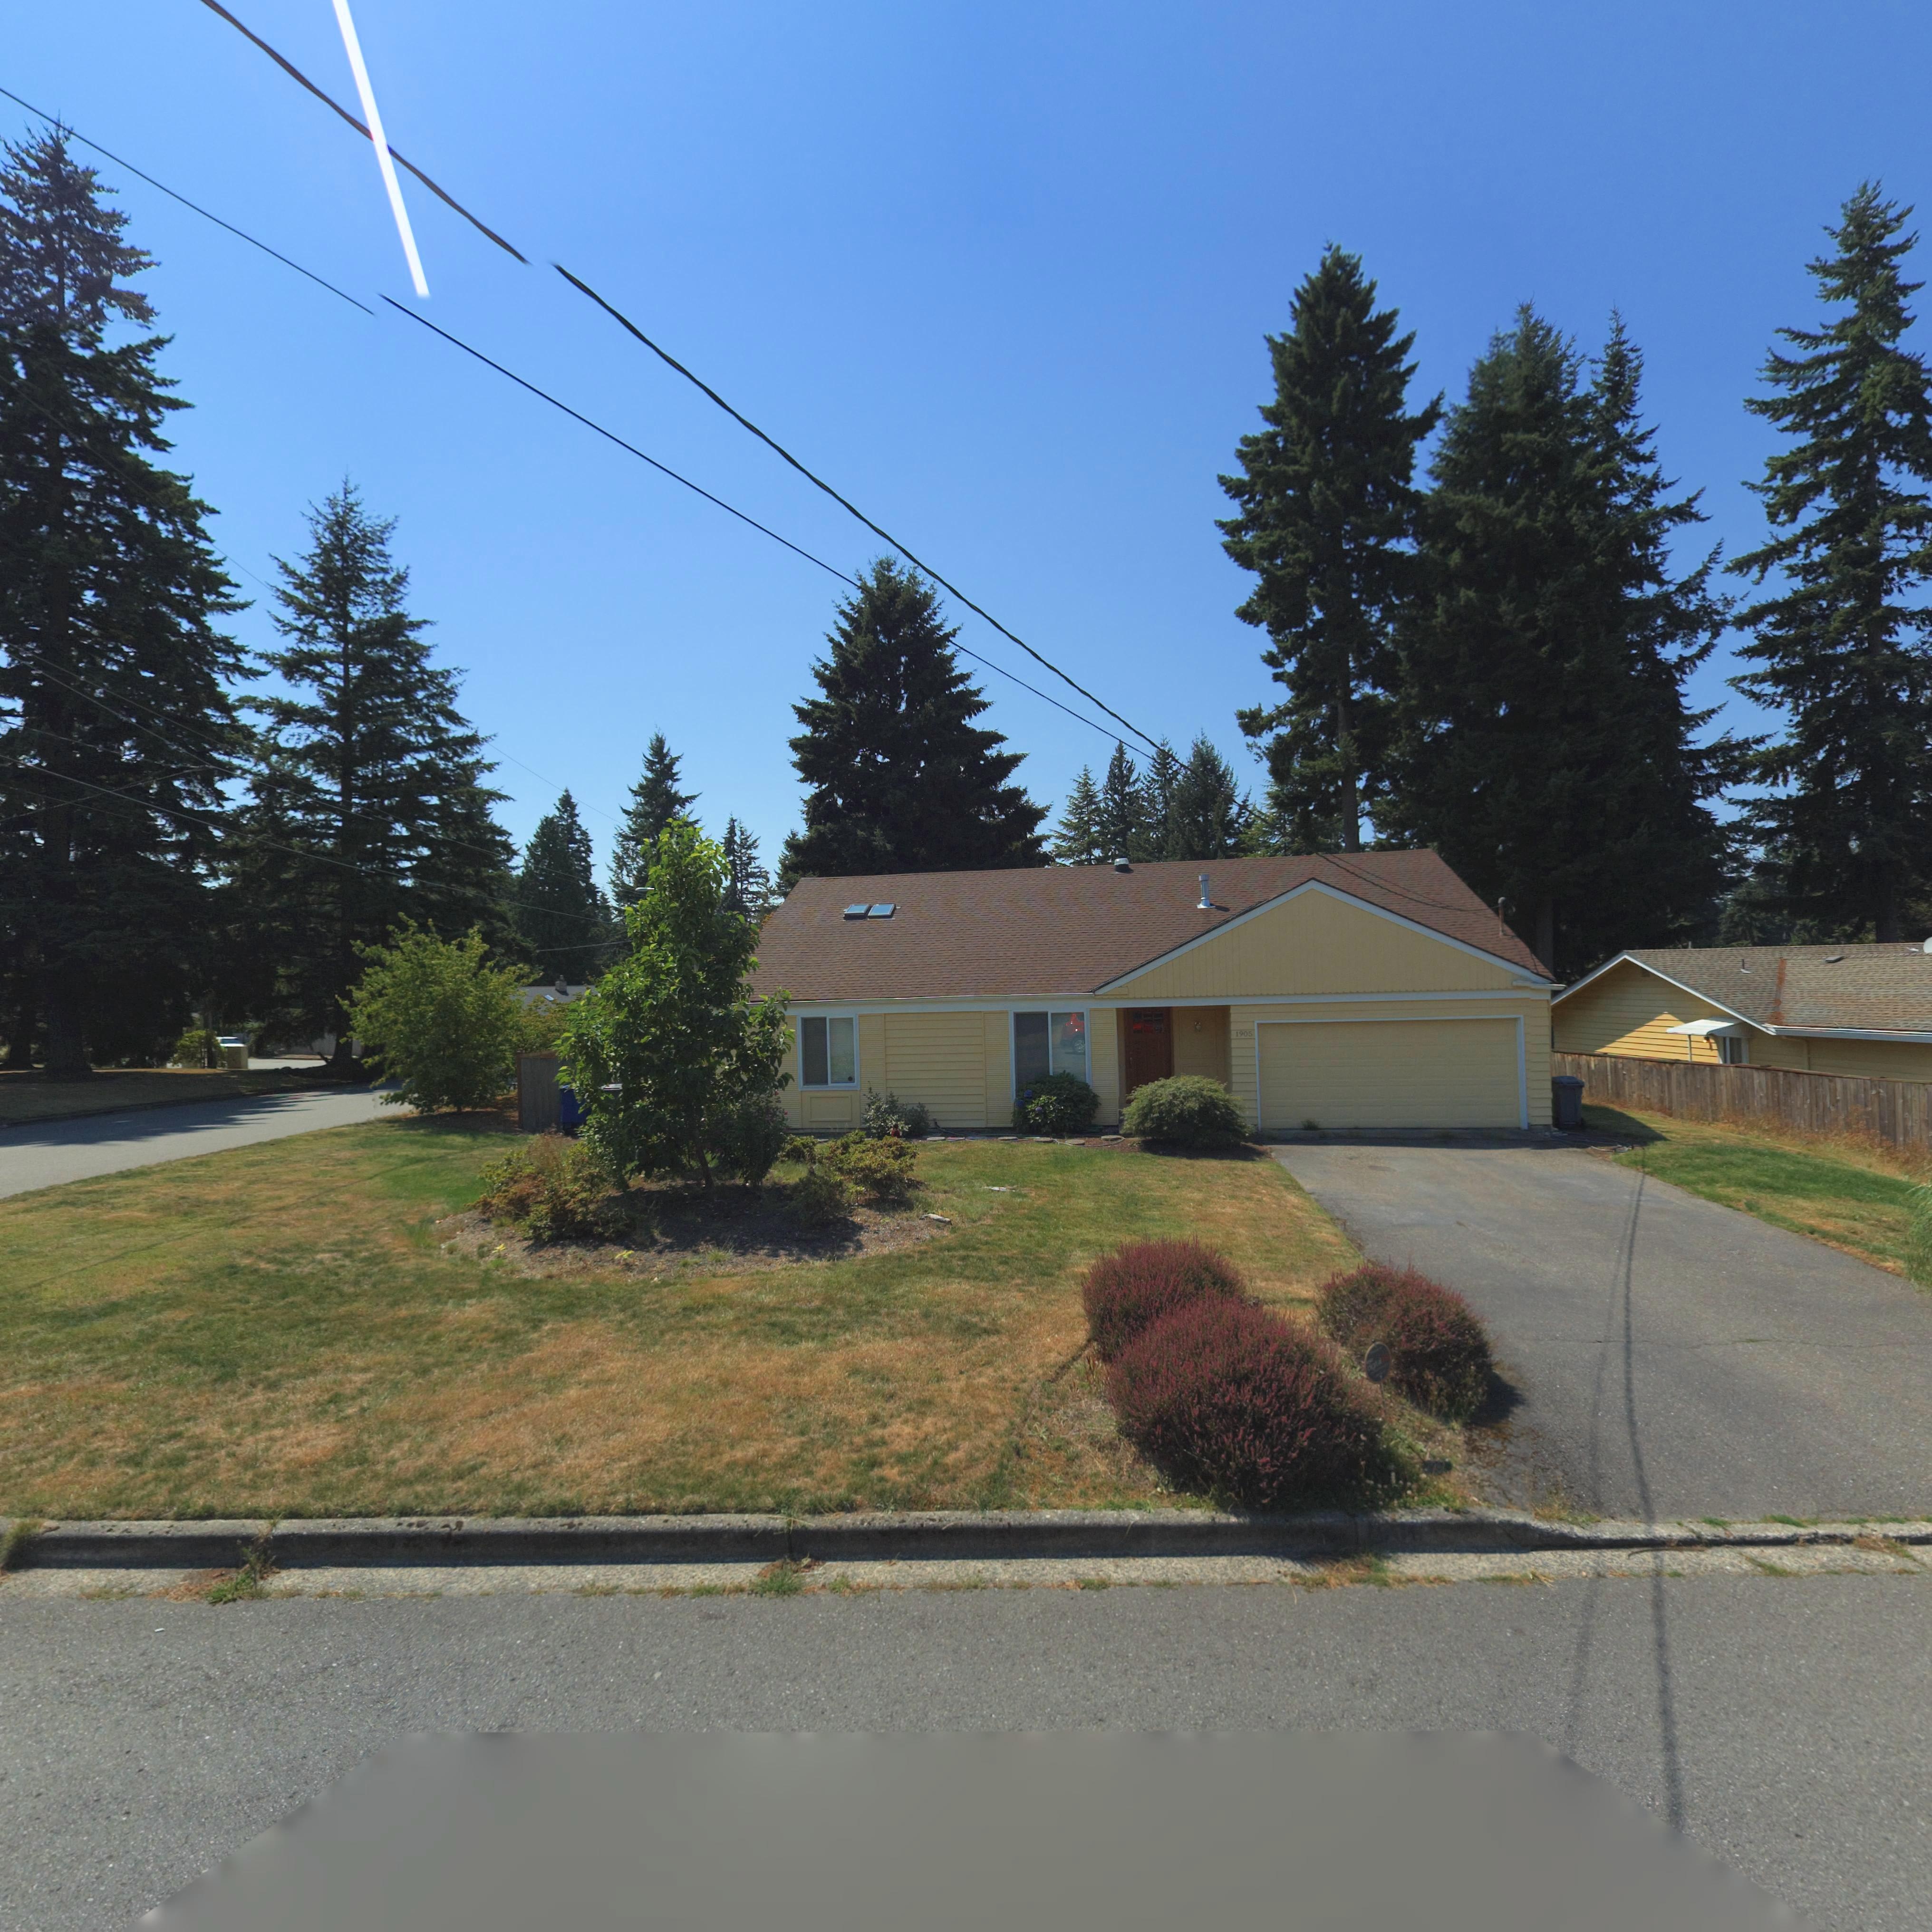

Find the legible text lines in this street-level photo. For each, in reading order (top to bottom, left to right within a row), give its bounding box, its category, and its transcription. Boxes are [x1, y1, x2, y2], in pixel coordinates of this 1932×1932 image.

[1236, 1031, 1253, 1037] StreetNumber: 1905